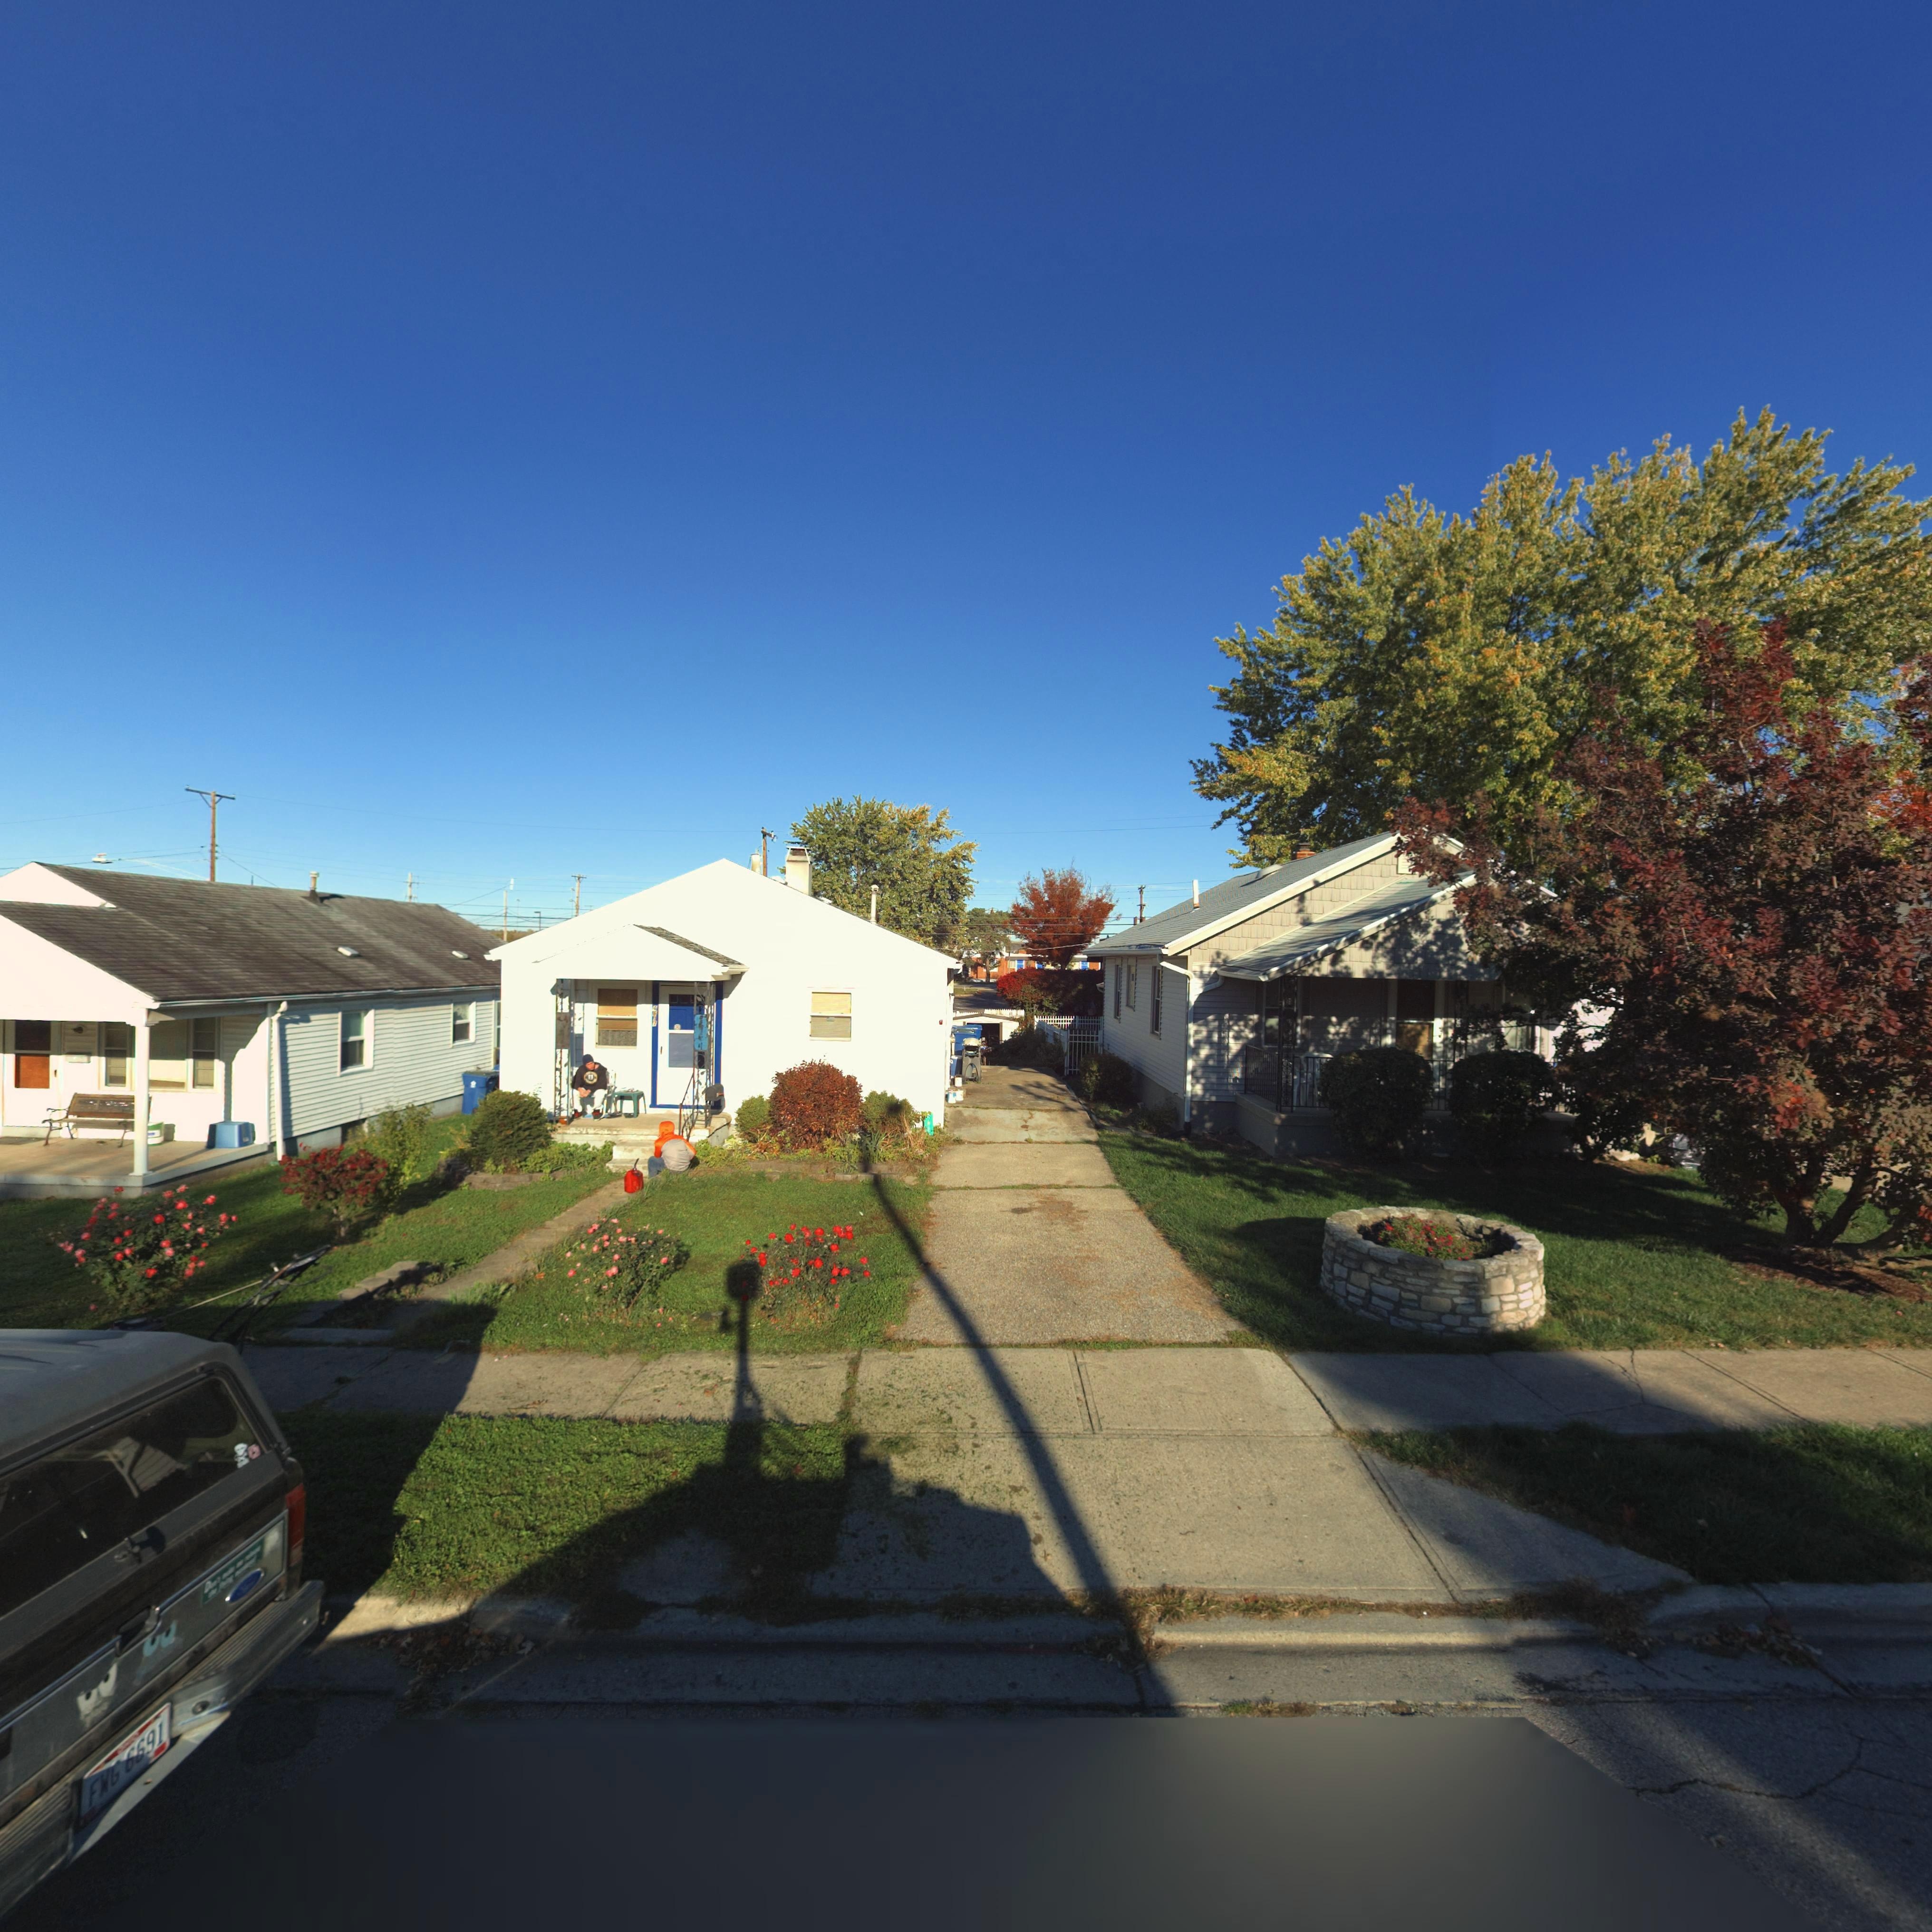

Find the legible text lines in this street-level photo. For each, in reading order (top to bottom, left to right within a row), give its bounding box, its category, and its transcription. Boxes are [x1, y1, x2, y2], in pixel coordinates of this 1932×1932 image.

[652, 1004, 658, 1027] StreetNumber: ***7